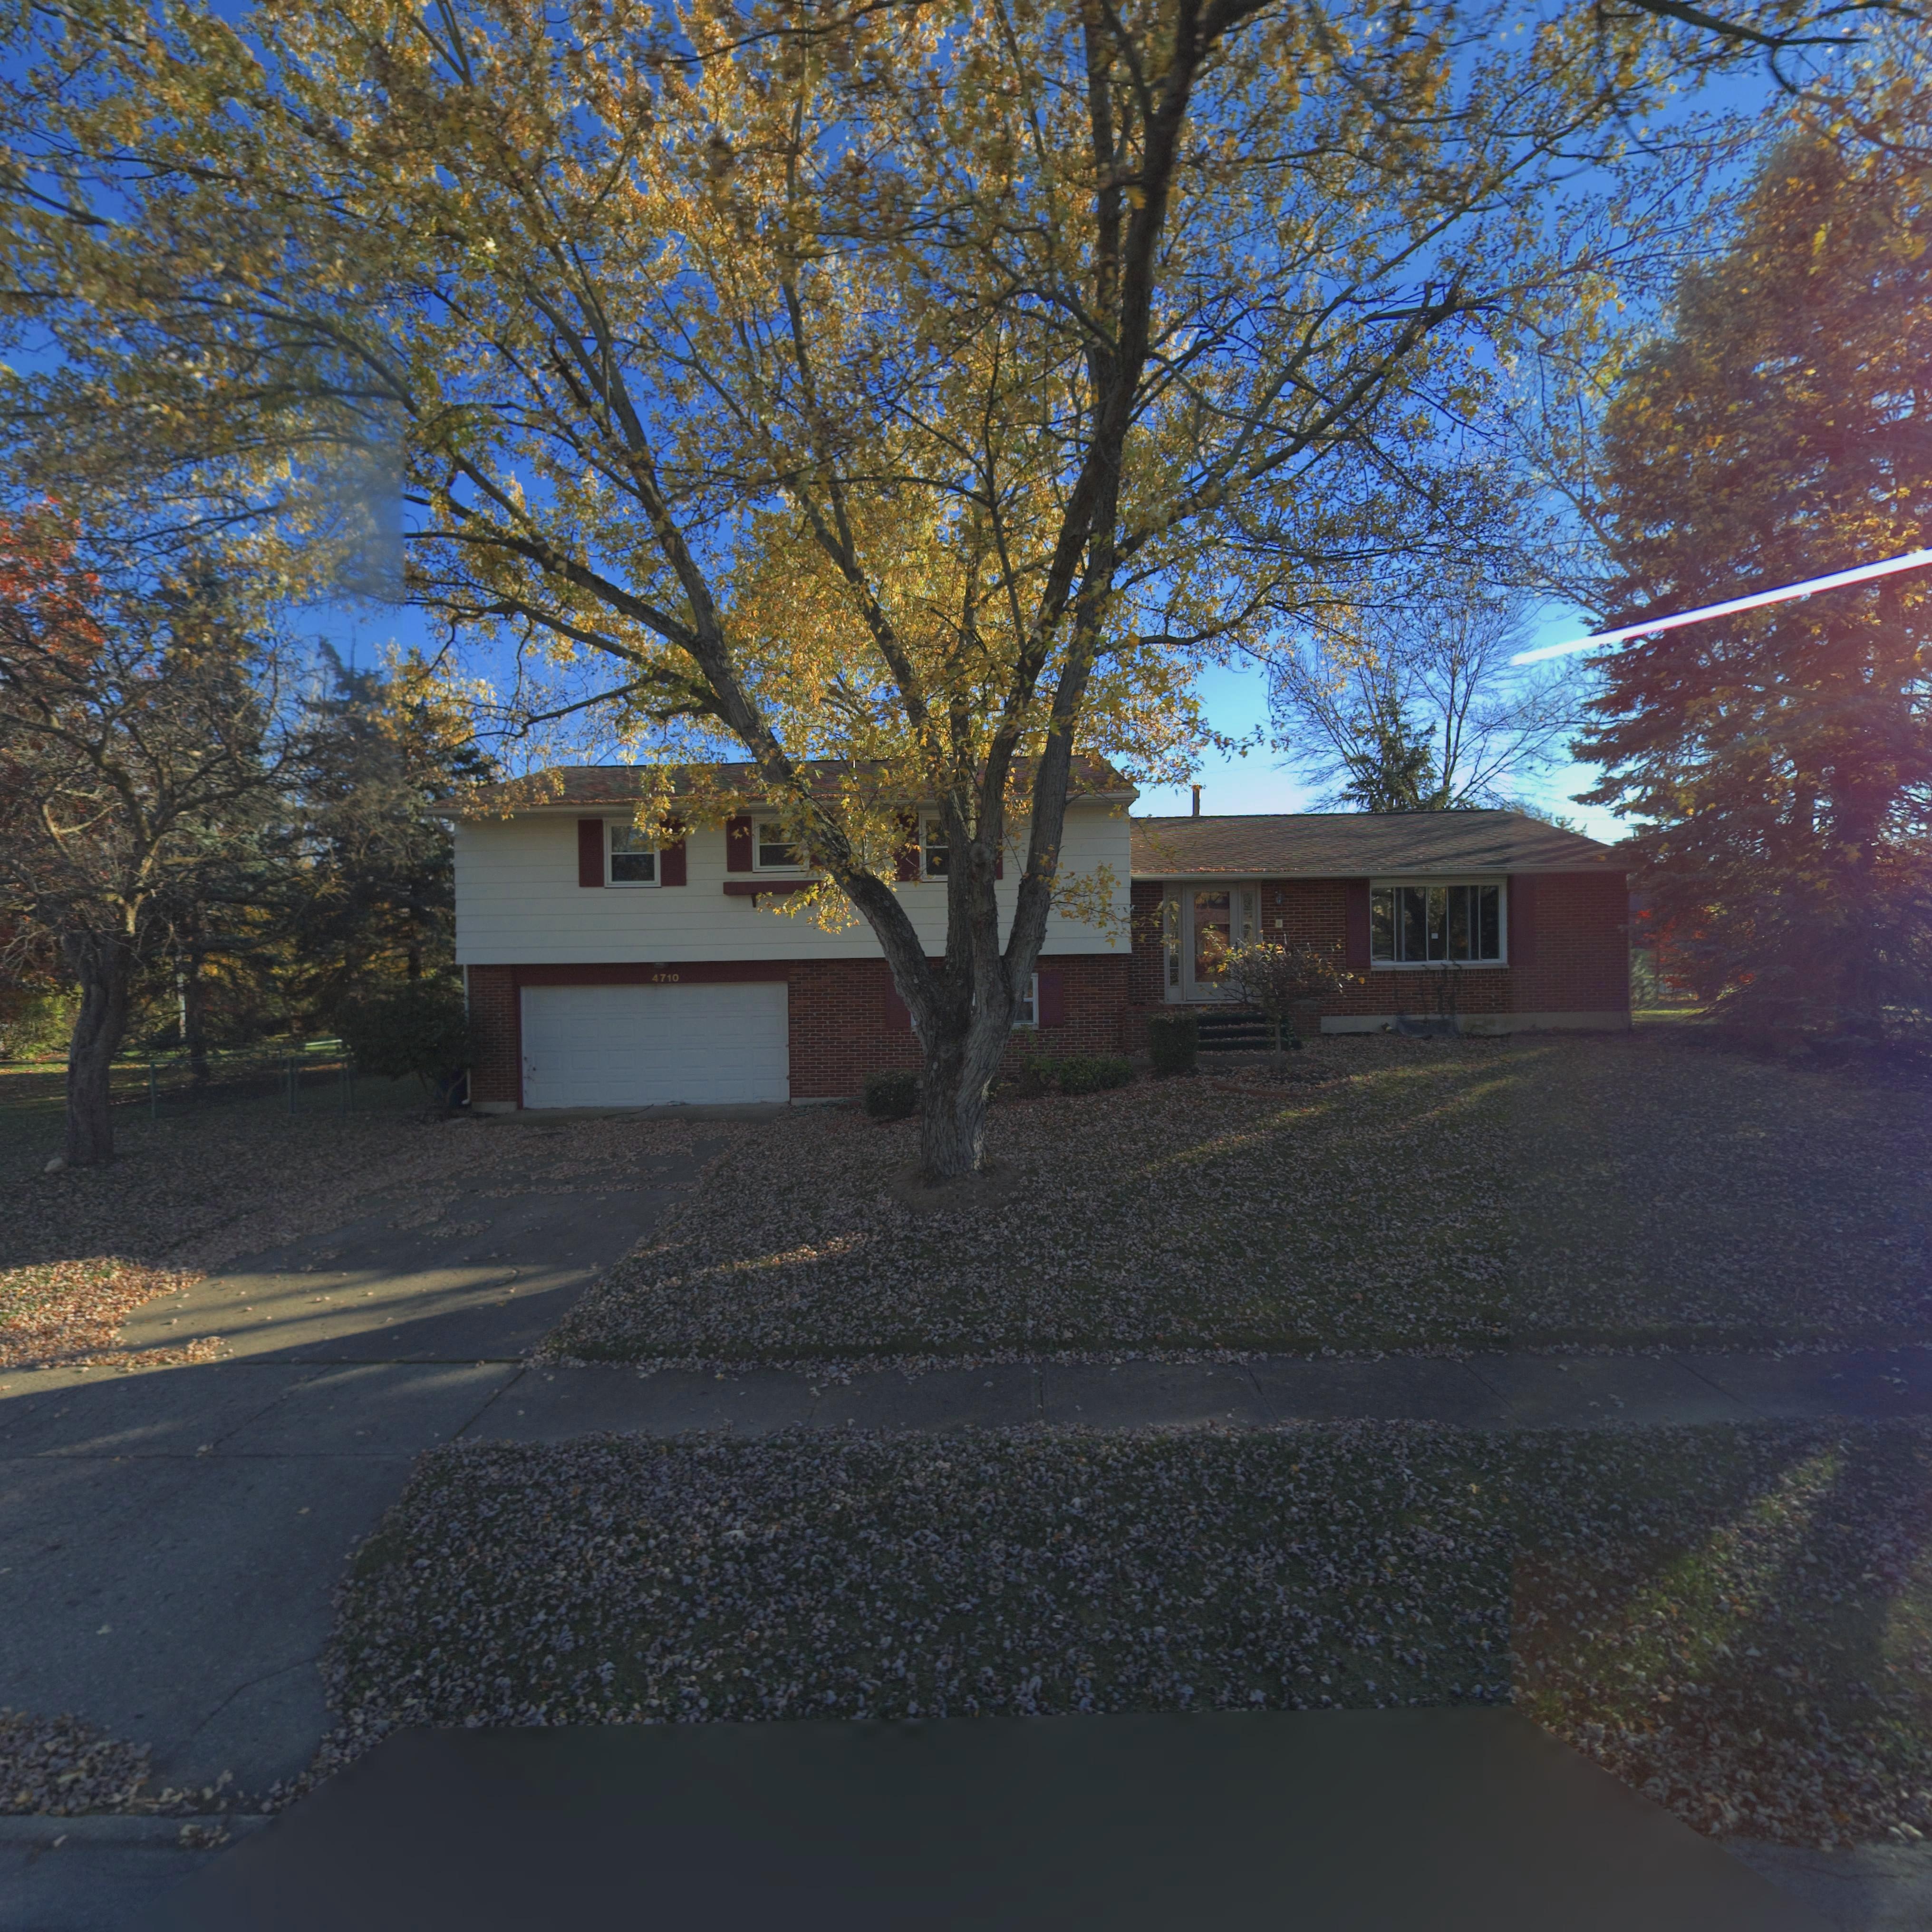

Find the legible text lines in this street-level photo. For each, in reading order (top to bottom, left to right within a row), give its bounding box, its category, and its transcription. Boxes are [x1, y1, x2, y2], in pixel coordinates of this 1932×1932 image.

[651, 973, 680, 984] StreetNumber: 4710